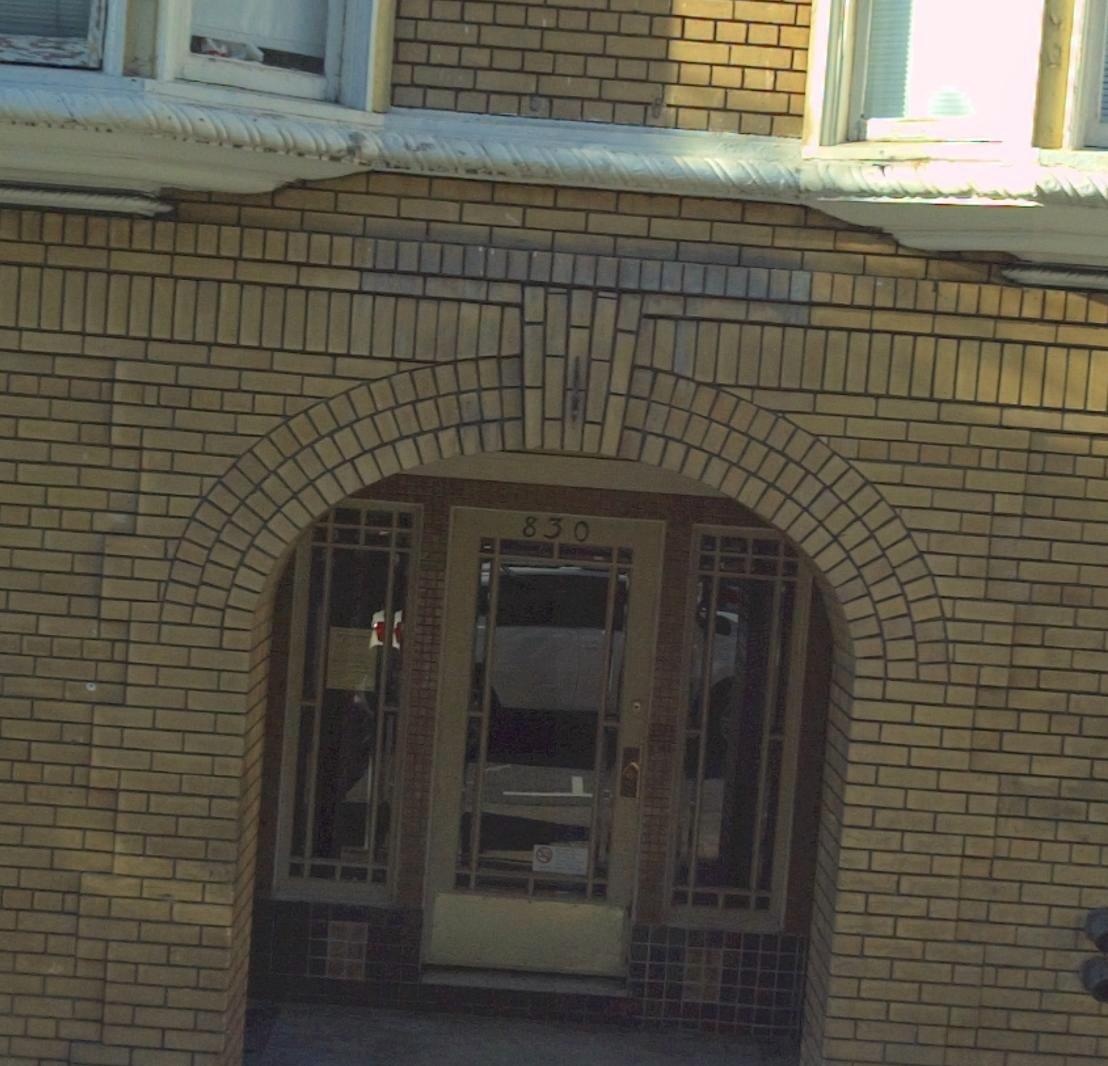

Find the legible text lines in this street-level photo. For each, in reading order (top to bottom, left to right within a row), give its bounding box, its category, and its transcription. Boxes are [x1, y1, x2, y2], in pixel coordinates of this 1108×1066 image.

[518, 514, 593, 545] StreetNumber: 830